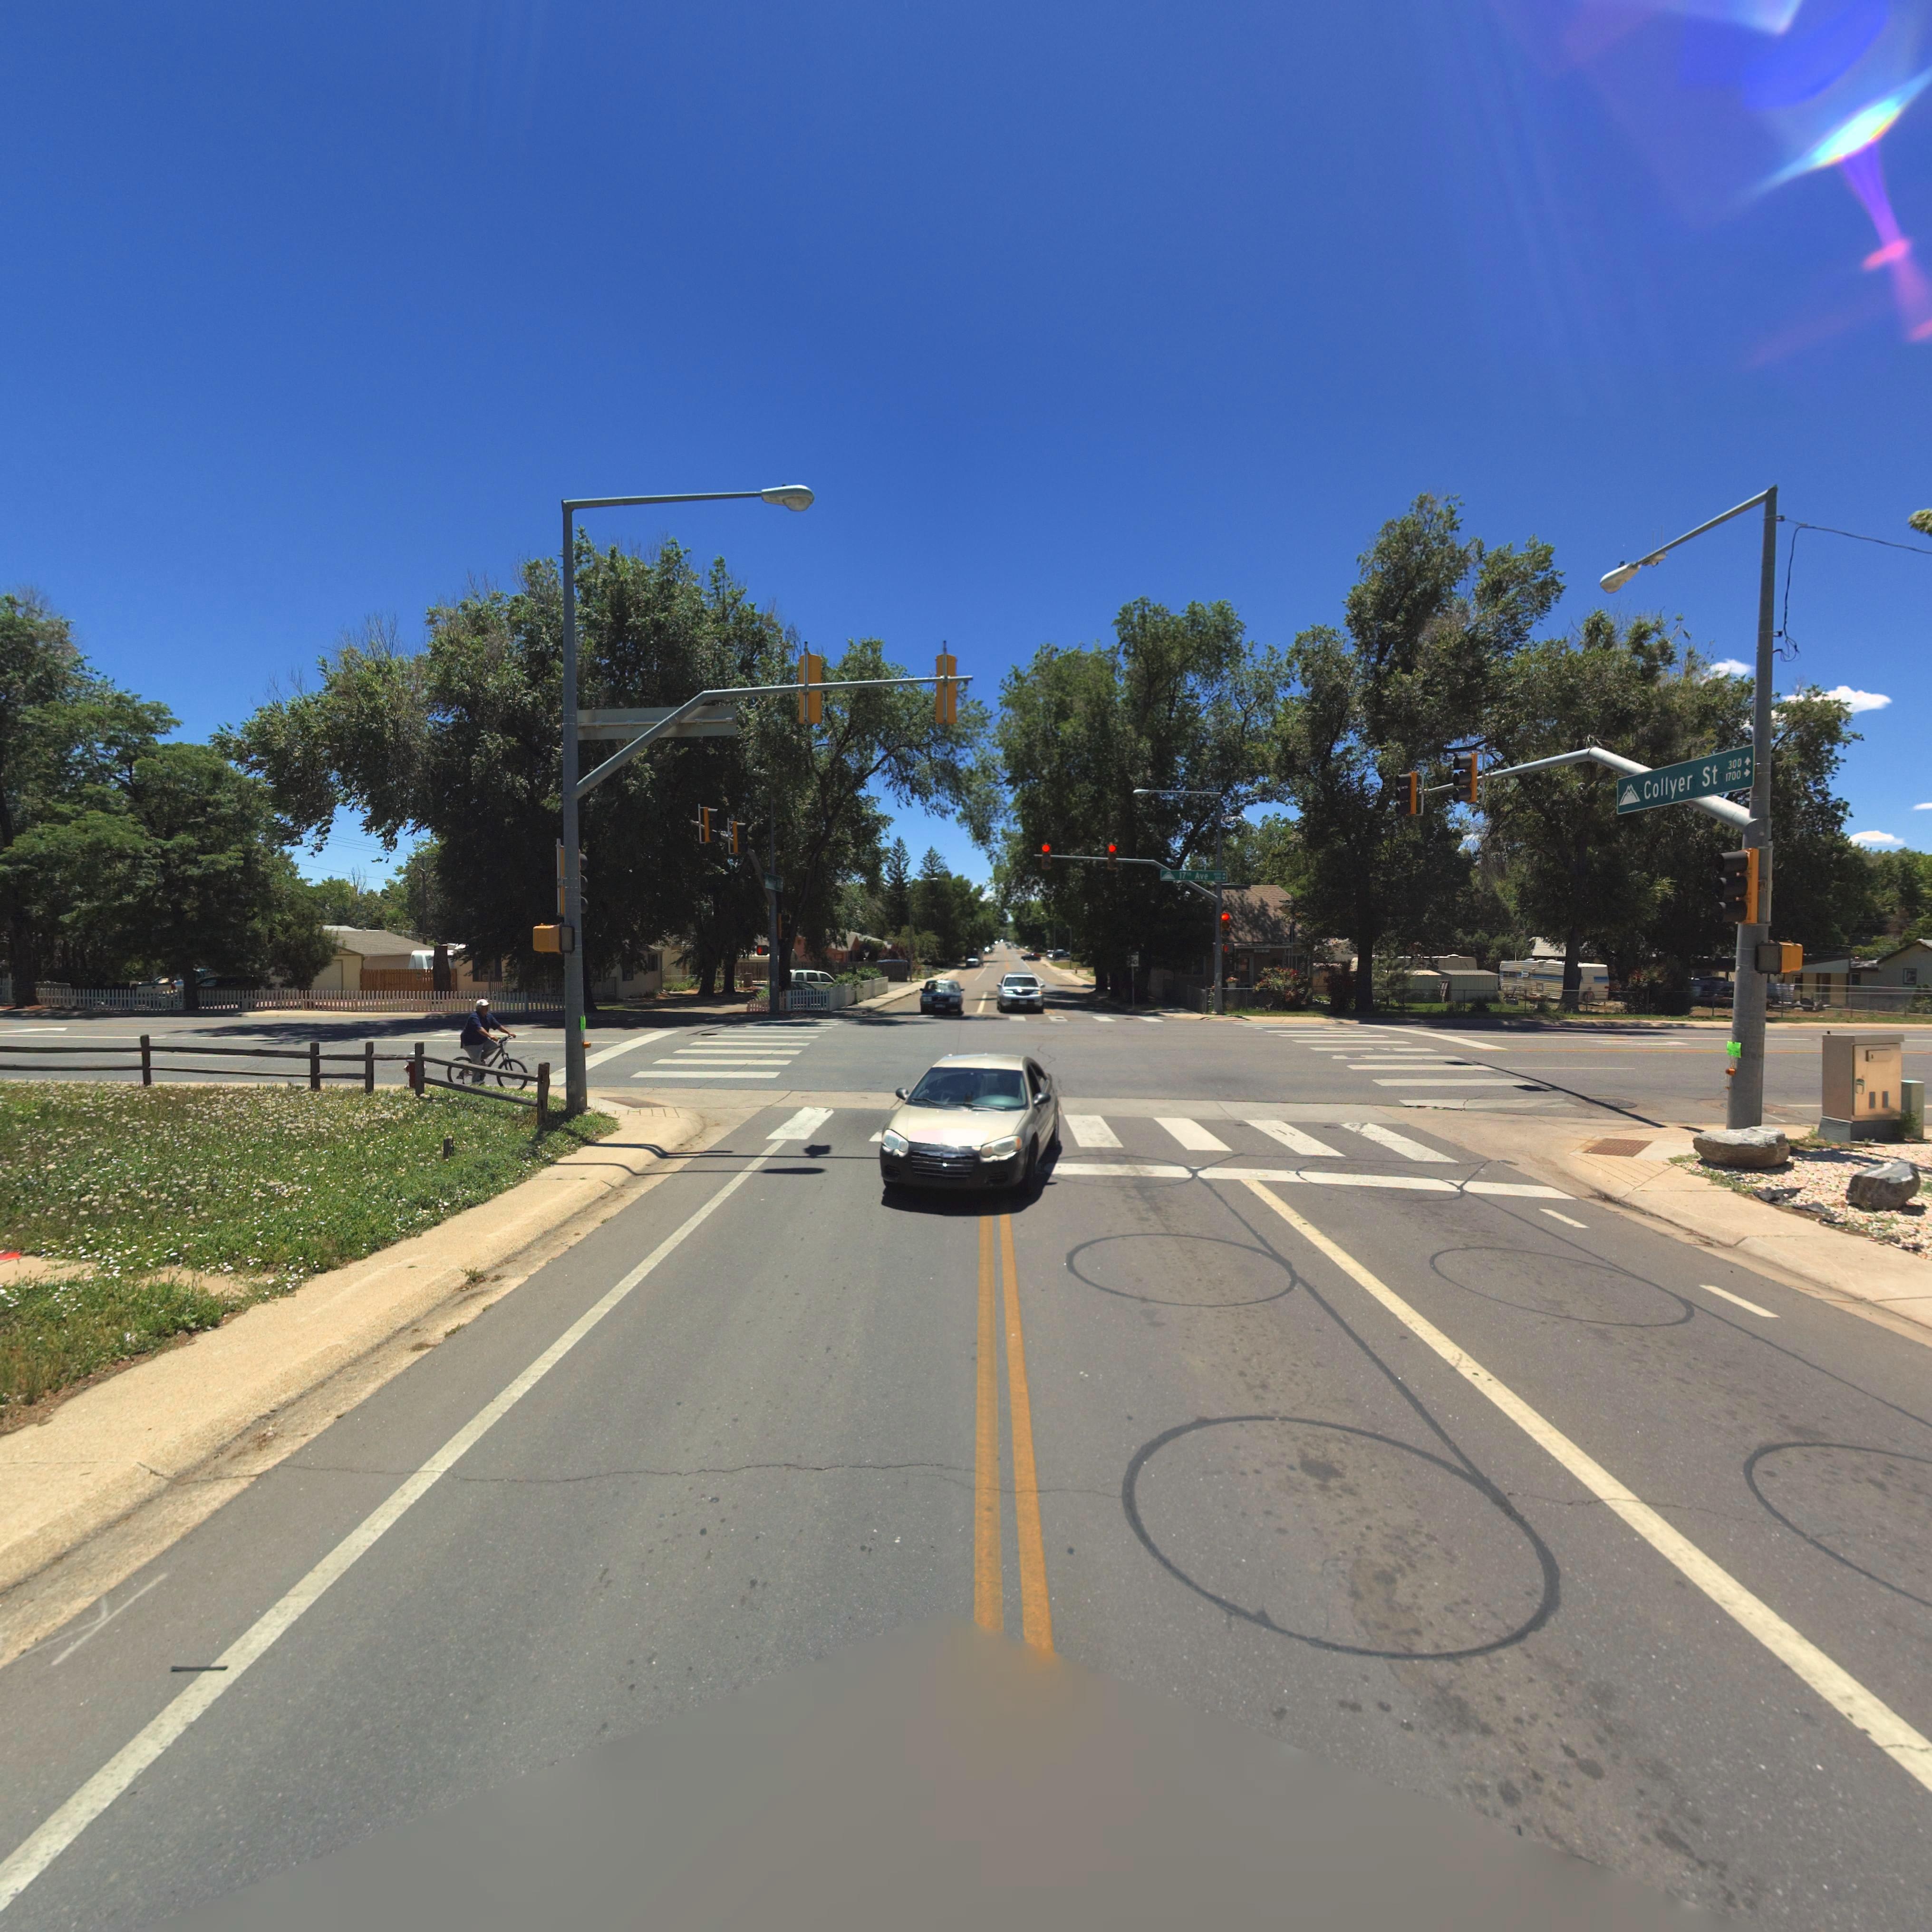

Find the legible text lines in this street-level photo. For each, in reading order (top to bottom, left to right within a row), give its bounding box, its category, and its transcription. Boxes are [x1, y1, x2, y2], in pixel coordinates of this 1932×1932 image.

[1727, 758, 1741, 769] StreetNumberRange: 300
[1725, 768, 1751, 782] StreetNumberRange: 1700->
[1643, 764, 1718, 800] StreetName: Collyer St
[1179, 871, 1208, 879] StreetName: 17th Ave